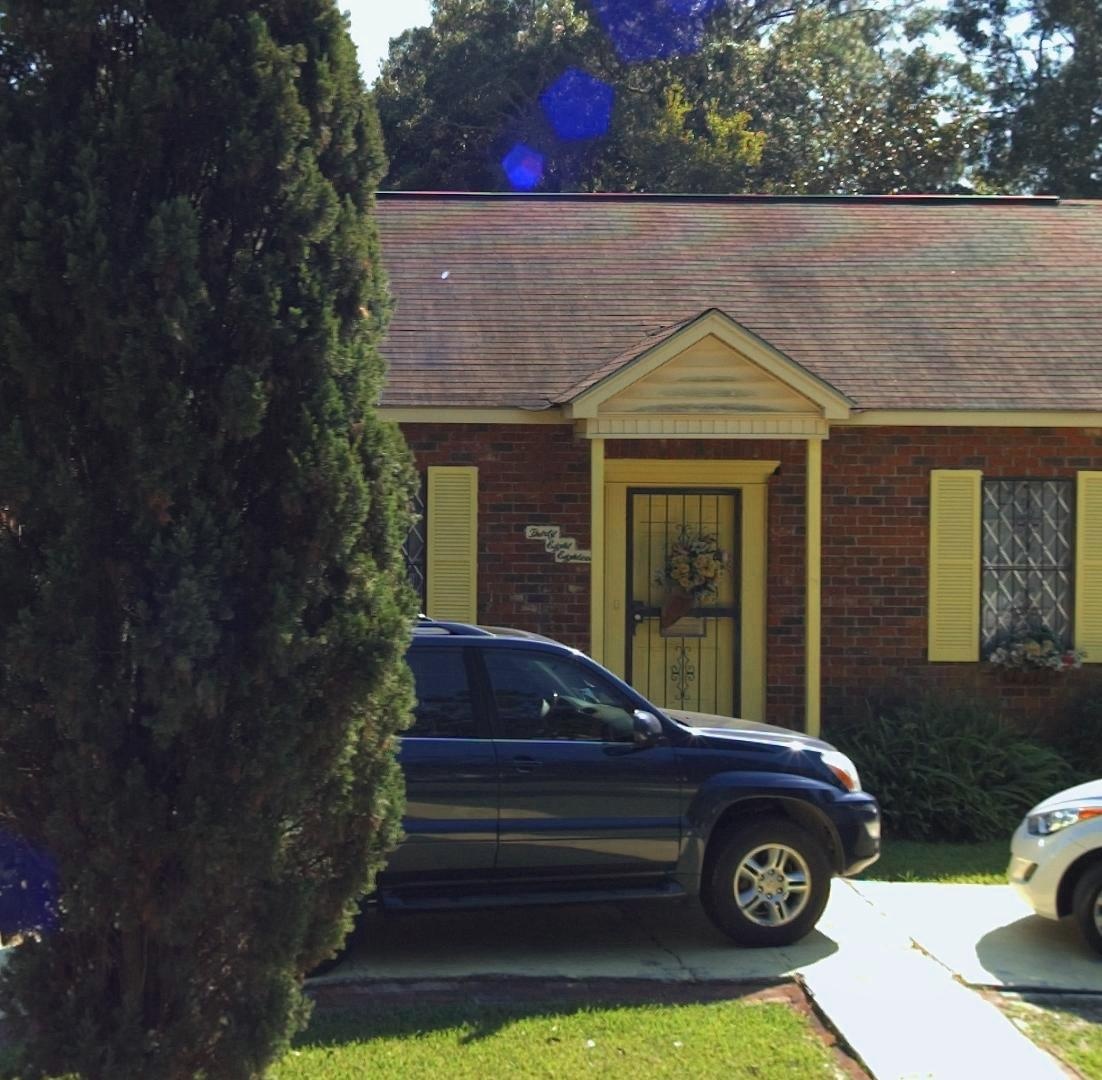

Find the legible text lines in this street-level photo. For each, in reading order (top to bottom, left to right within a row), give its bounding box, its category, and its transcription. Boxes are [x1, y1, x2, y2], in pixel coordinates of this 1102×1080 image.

[527, 527, 559, 541] StreetNumber: Twenty
[545, 537, 574, 550] StreetNumber: Eight
[556, 548, 592, 562] StreetNumber: Eighteen